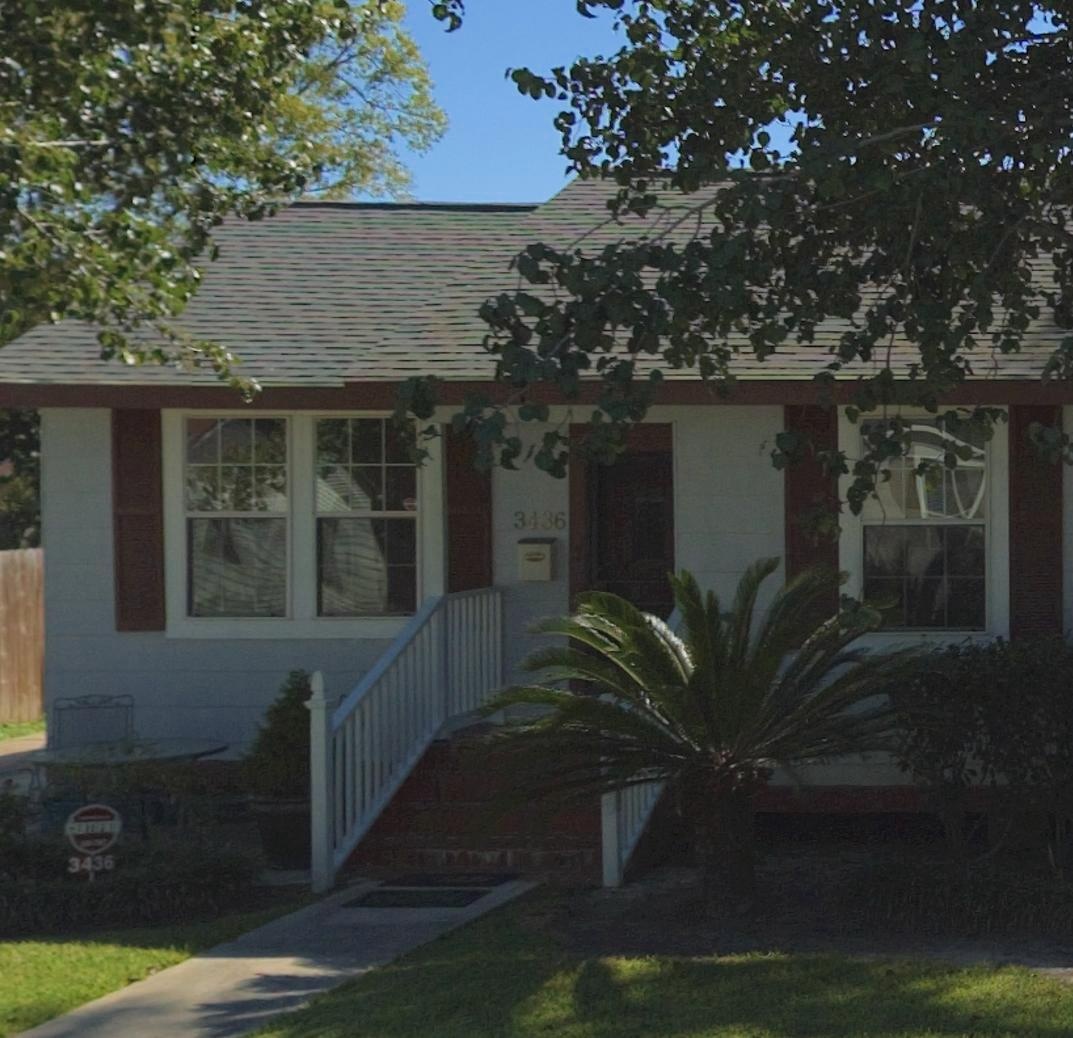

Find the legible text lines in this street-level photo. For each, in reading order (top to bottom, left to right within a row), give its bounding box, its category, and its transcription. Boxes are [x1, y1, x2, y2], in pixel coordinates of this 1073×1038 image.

[512, 509, 569, 532] StreetNumber: 3436
[64, 820, 122, 835] None: CERTIFIED
[66, 854, 115, 875] StreetNumber: 3436